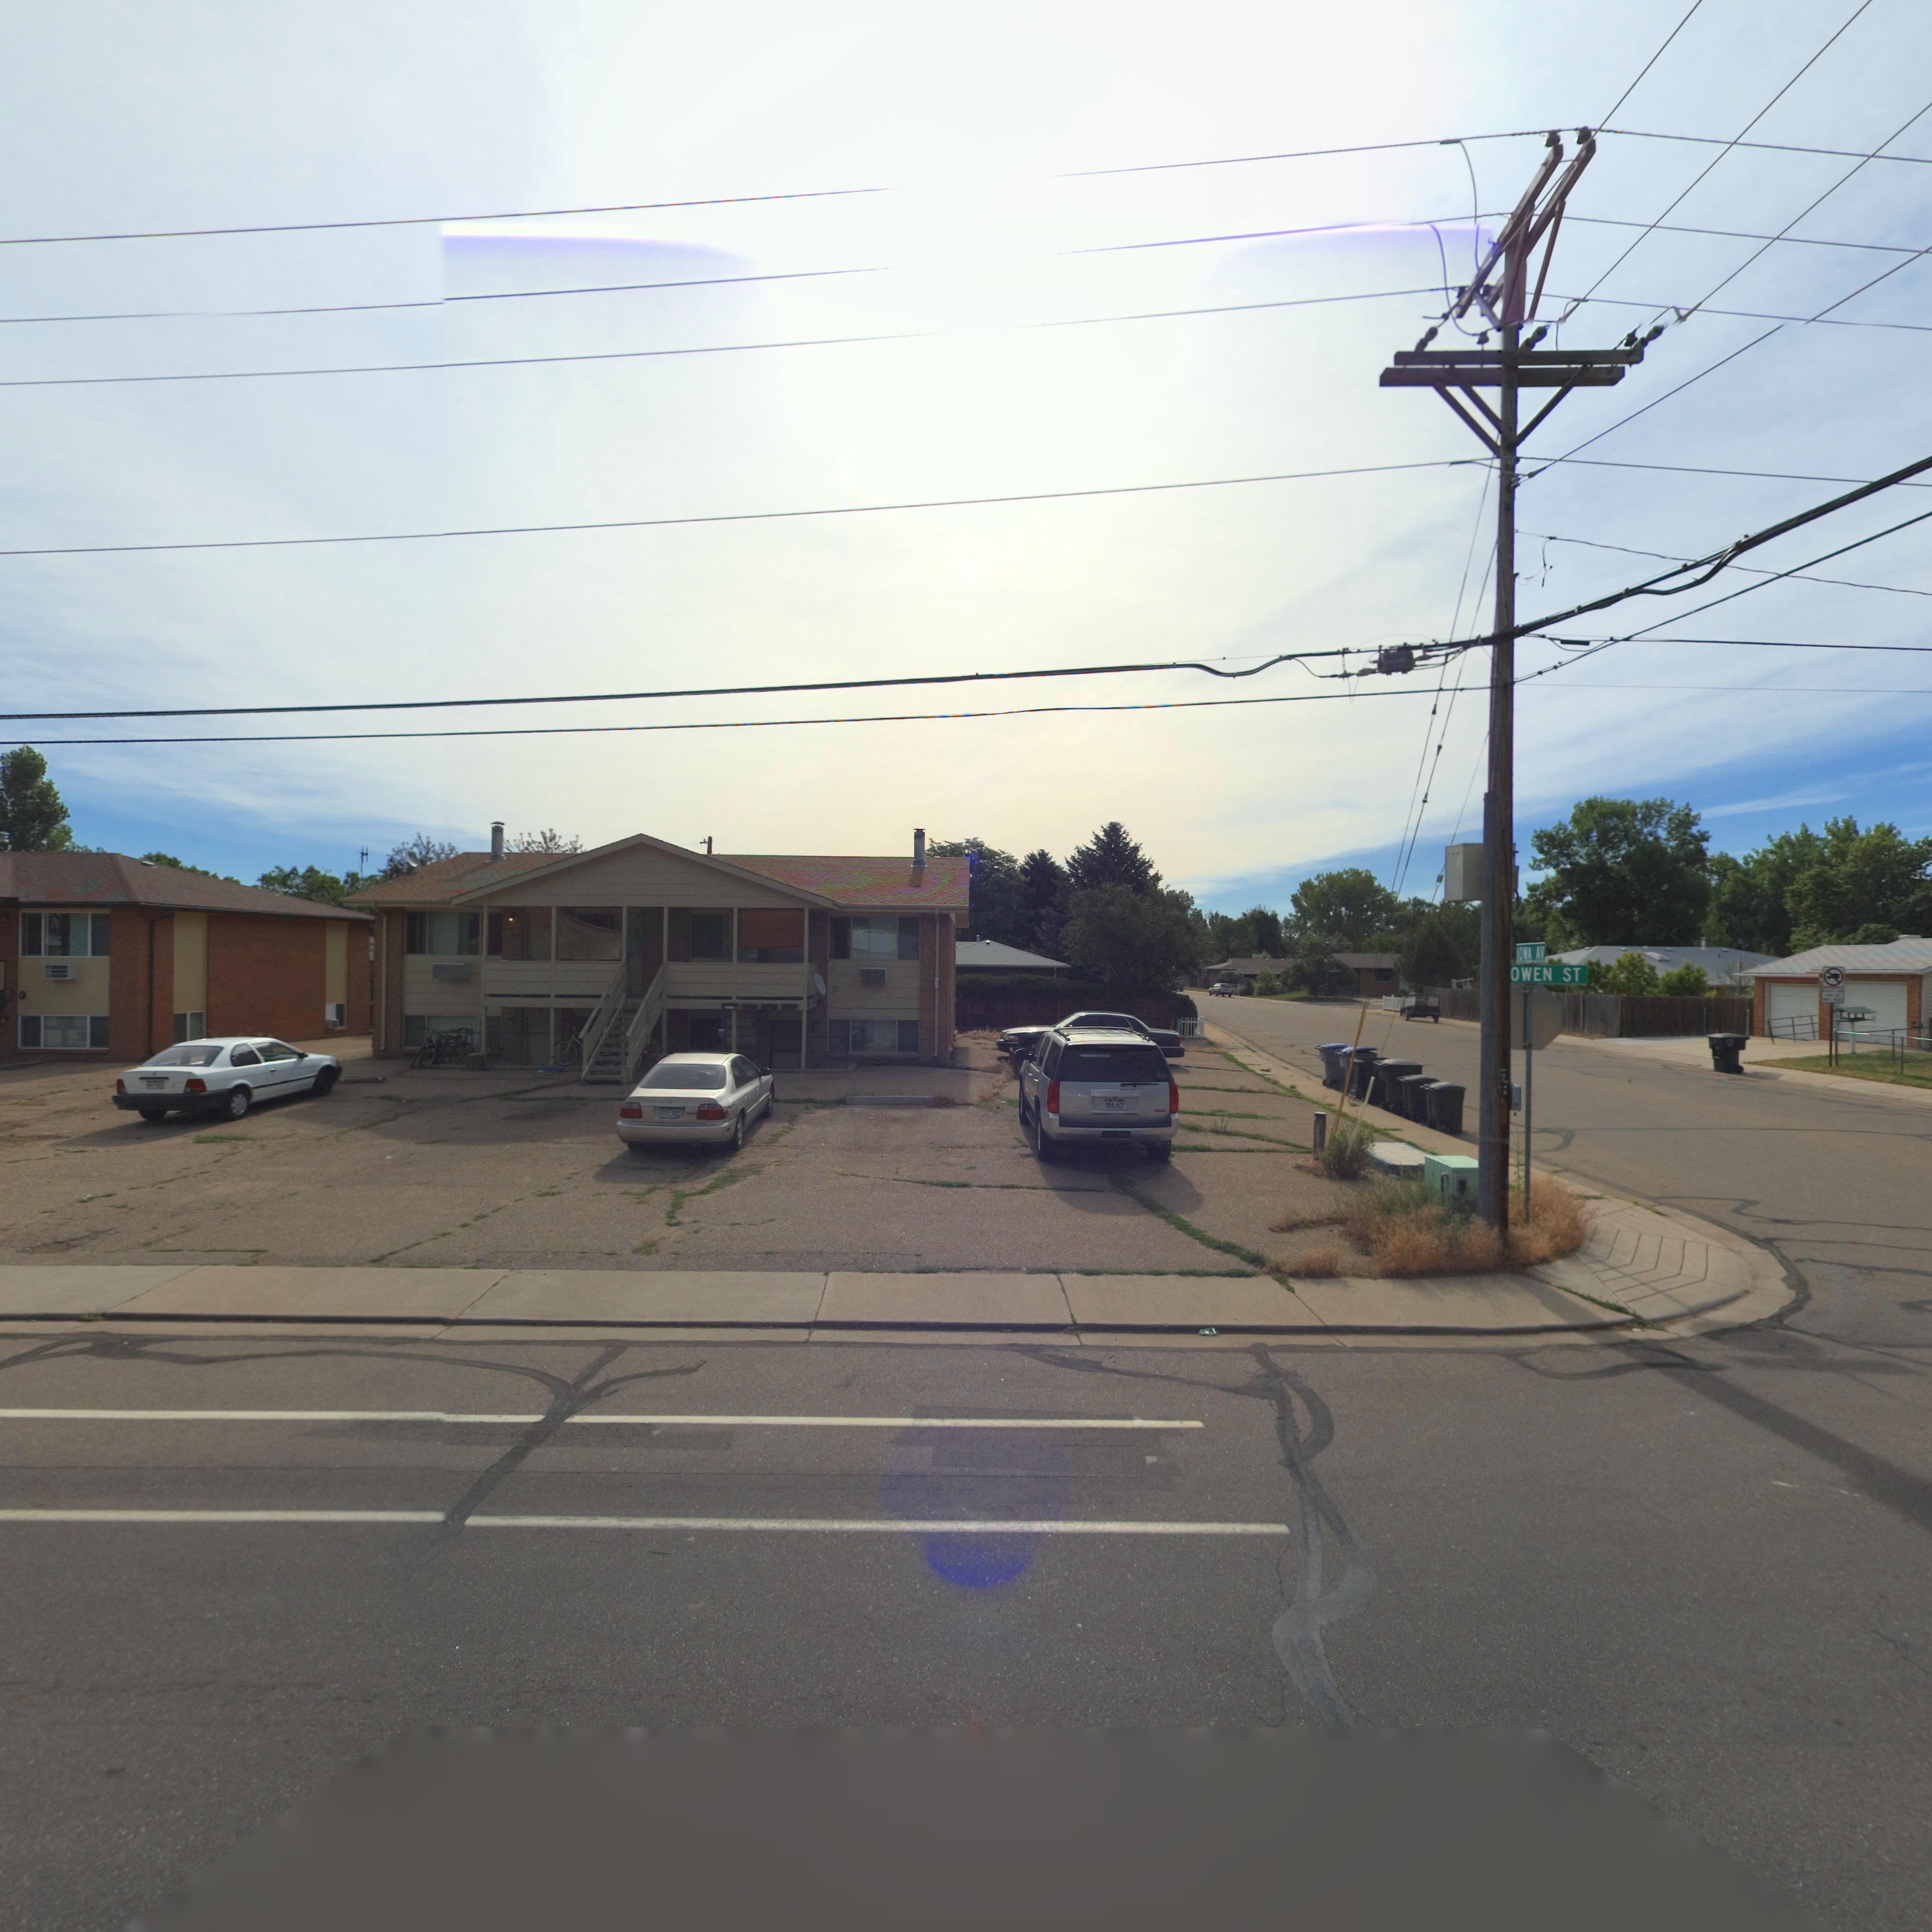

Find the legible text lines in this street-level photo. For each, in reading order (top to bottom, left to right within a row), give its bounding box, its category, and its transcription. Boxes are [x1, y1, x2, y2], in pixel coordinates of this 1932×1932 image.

[1516, 945, 1546, 961] StreetName: IOWA AV
[1511, 966, 1580, 981] BusinessName: OWEN ST